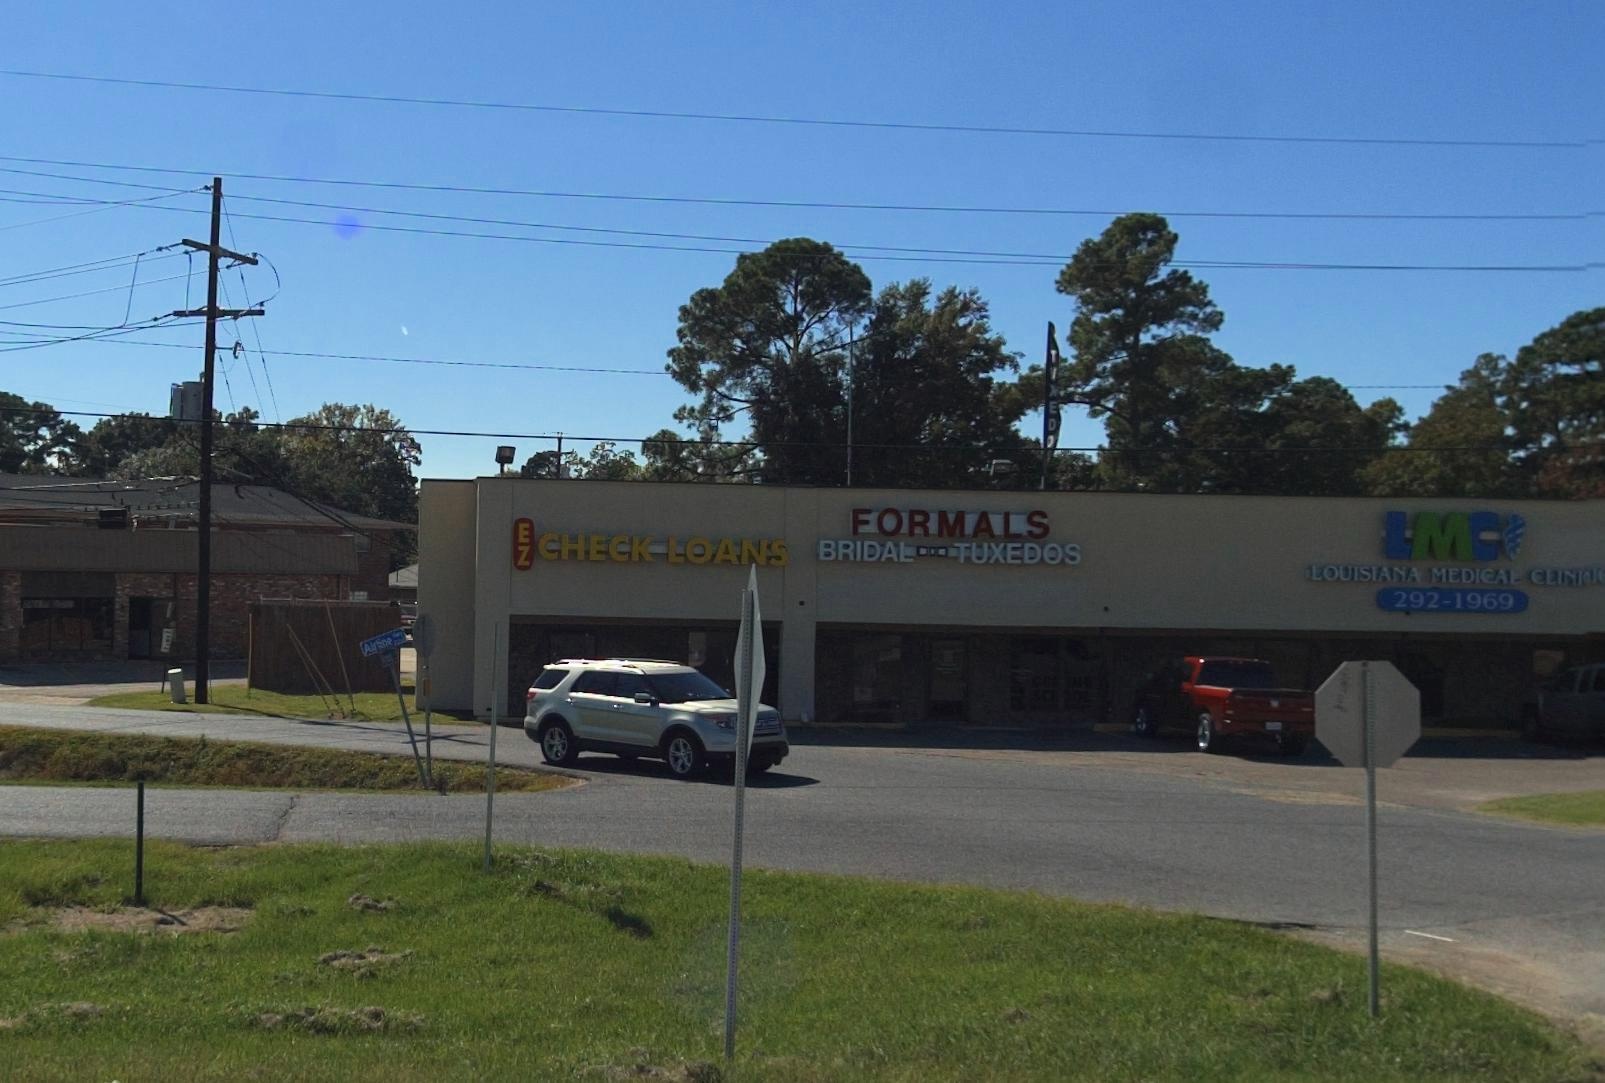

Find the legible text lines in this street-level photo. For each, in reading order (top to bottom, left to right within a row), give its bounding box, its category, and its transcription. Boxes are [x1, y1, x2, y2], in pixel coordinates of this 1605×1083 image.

[1044, 346, 1060, 435] None: T**ED*
[514, 520, 791, 570] BusinessName: EZ CHECK LOANS
[816, 537, 1084, 568] BusinessName: BRIDAL*TUXEDOS
[849, 505, 1052, 542] BusinessName: FORMALS
[1383, 506, 1502, 566] None: LMC
[1308, 561, 1585, 590] BusinessName: LOUISIANA MEDICAL CLINI
[1391, 588, 1518, 613] None: 292-1969
[362, 641, 376, 658] StreetName: A
[384, 635, 396, 648] StreetName: e